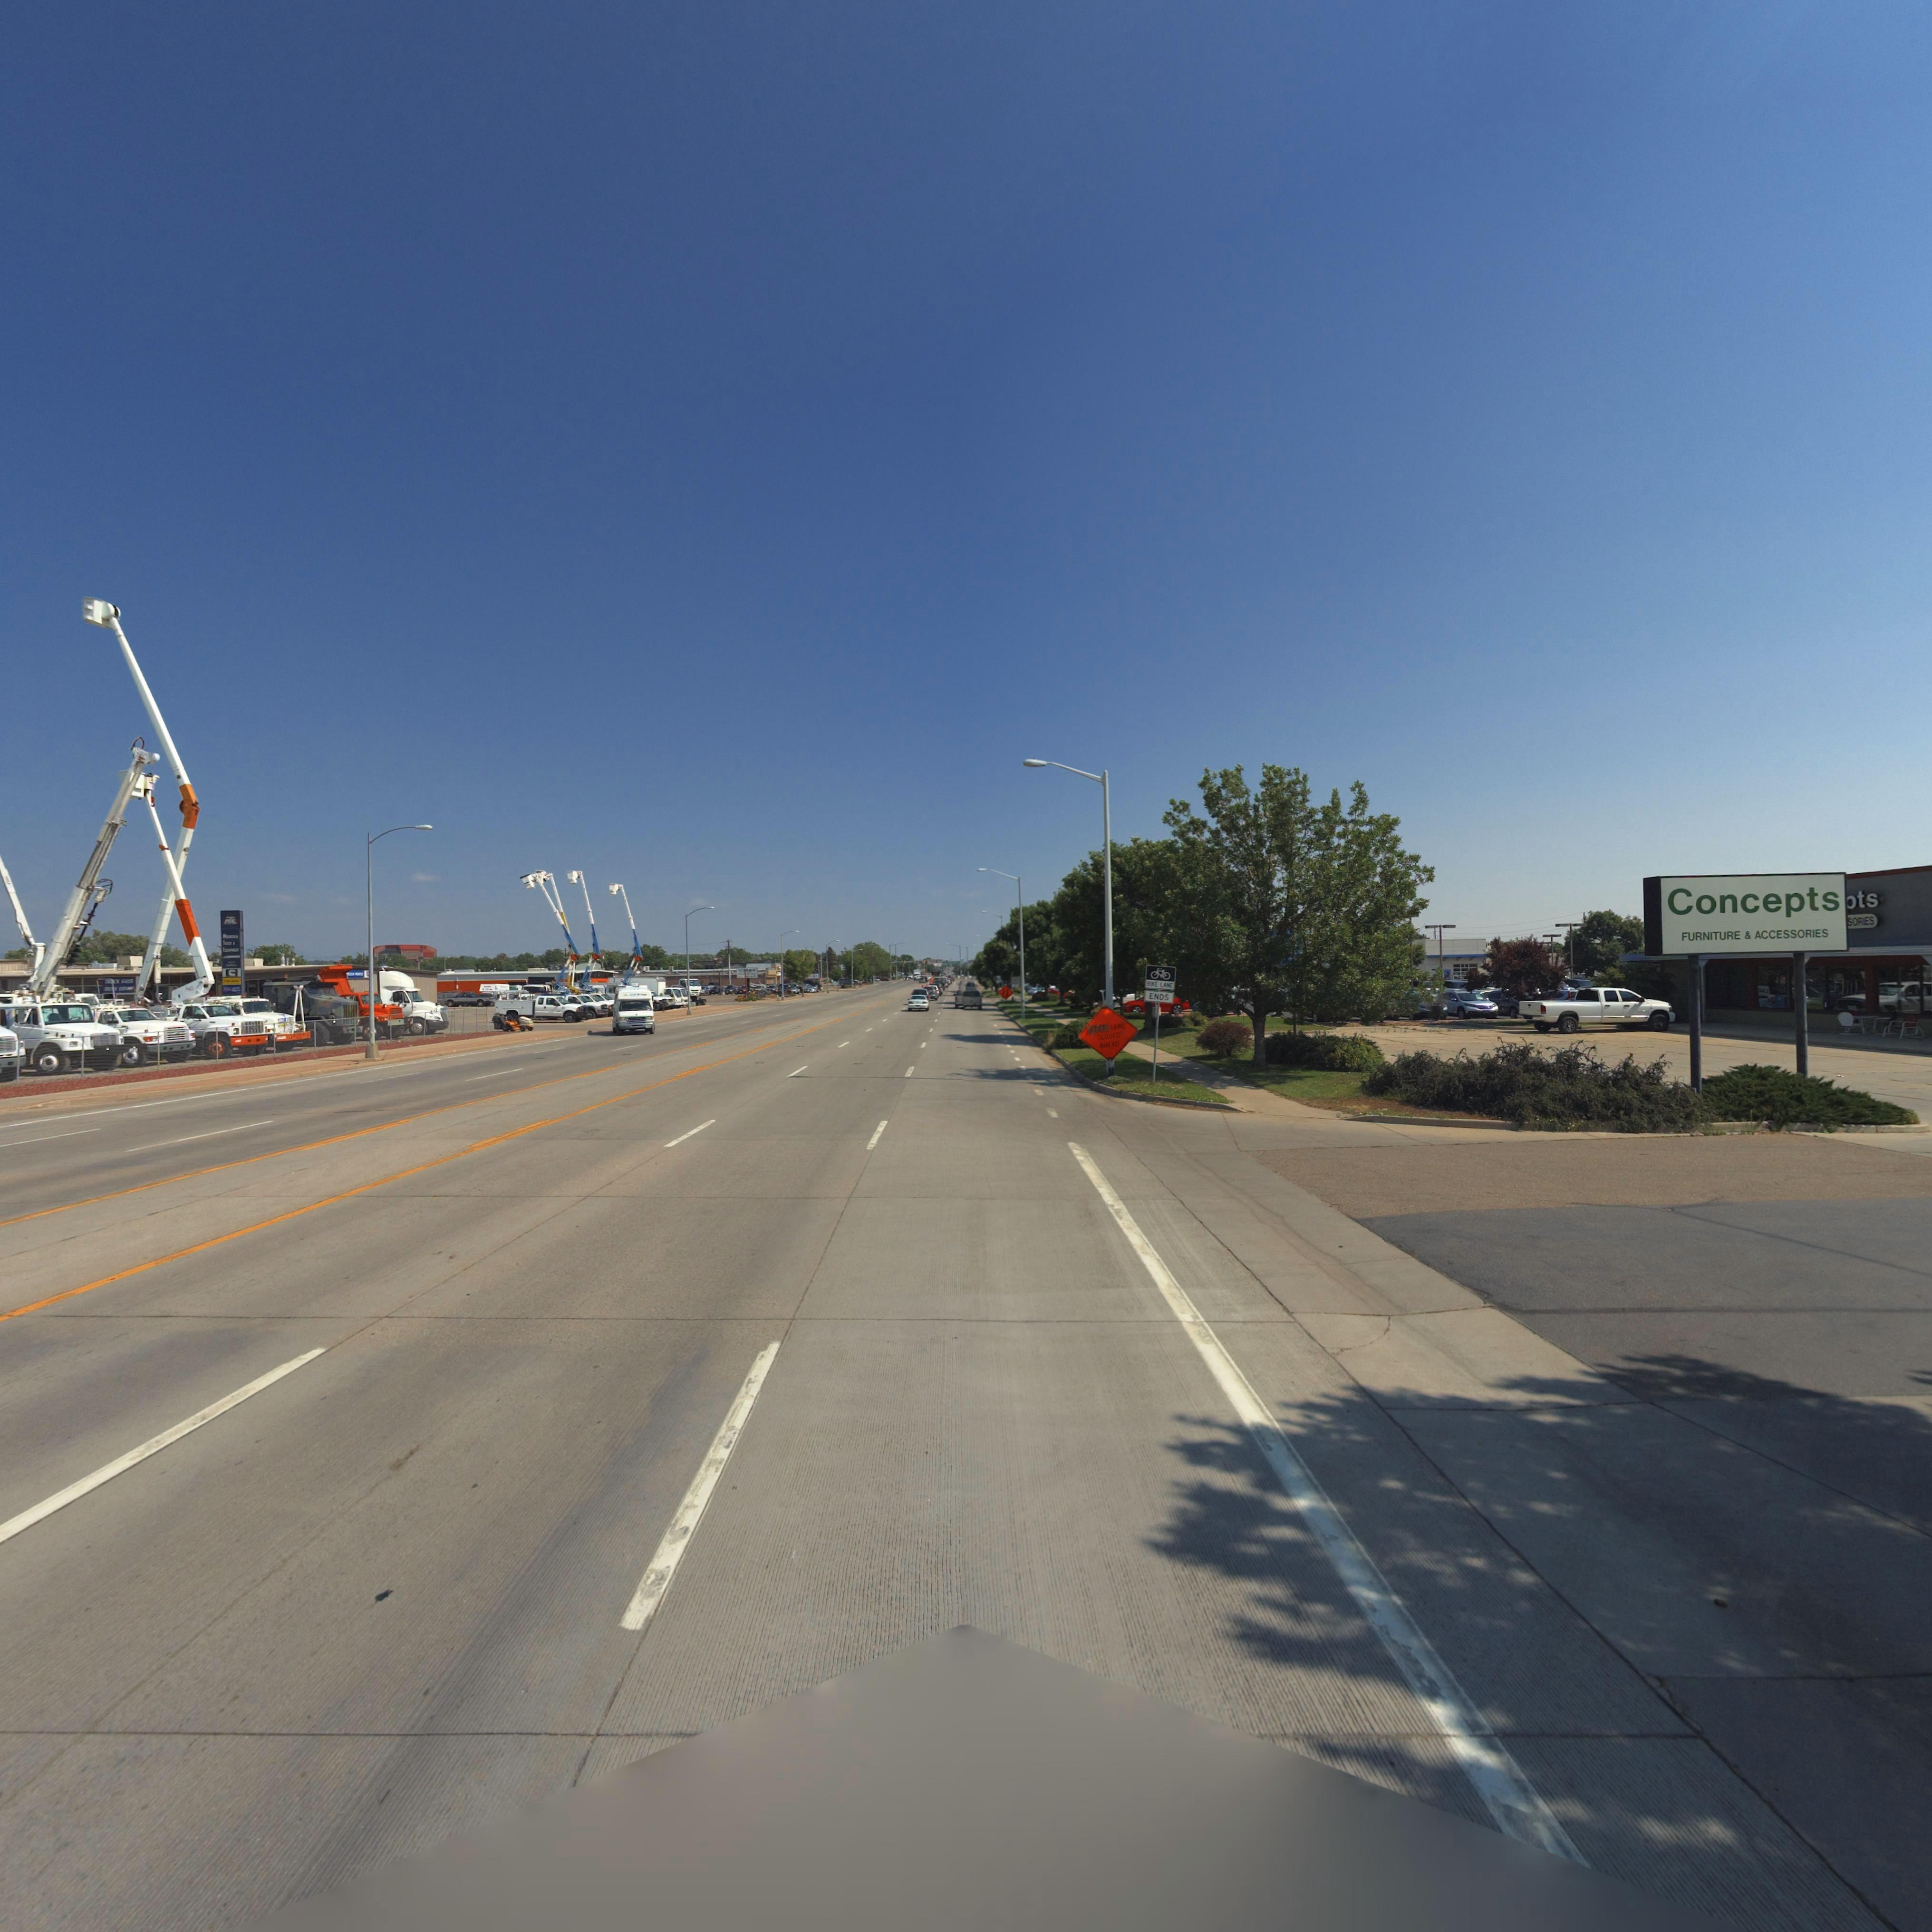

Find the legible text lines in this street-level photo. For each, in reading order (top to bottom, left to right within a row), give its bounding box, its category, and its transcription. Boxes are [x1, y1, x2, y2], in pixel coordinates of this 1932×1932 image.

[1662, 884, 1843, 919] BusinessName: Concepts
[1855, 890, 1878, 908] BusinessName: ts
[1846, 916, 1875, 927] BusinessName: sories
[222, 933, 238, 938] BusinessName: Mo****
[1681, 928, 1829, 941] BusinessName: FURNITURE & ACCESSORIES
[222, 940, 232, 945] BusinessName: TRUCK
[222, 947, 239, 952] BusinessName: E*******